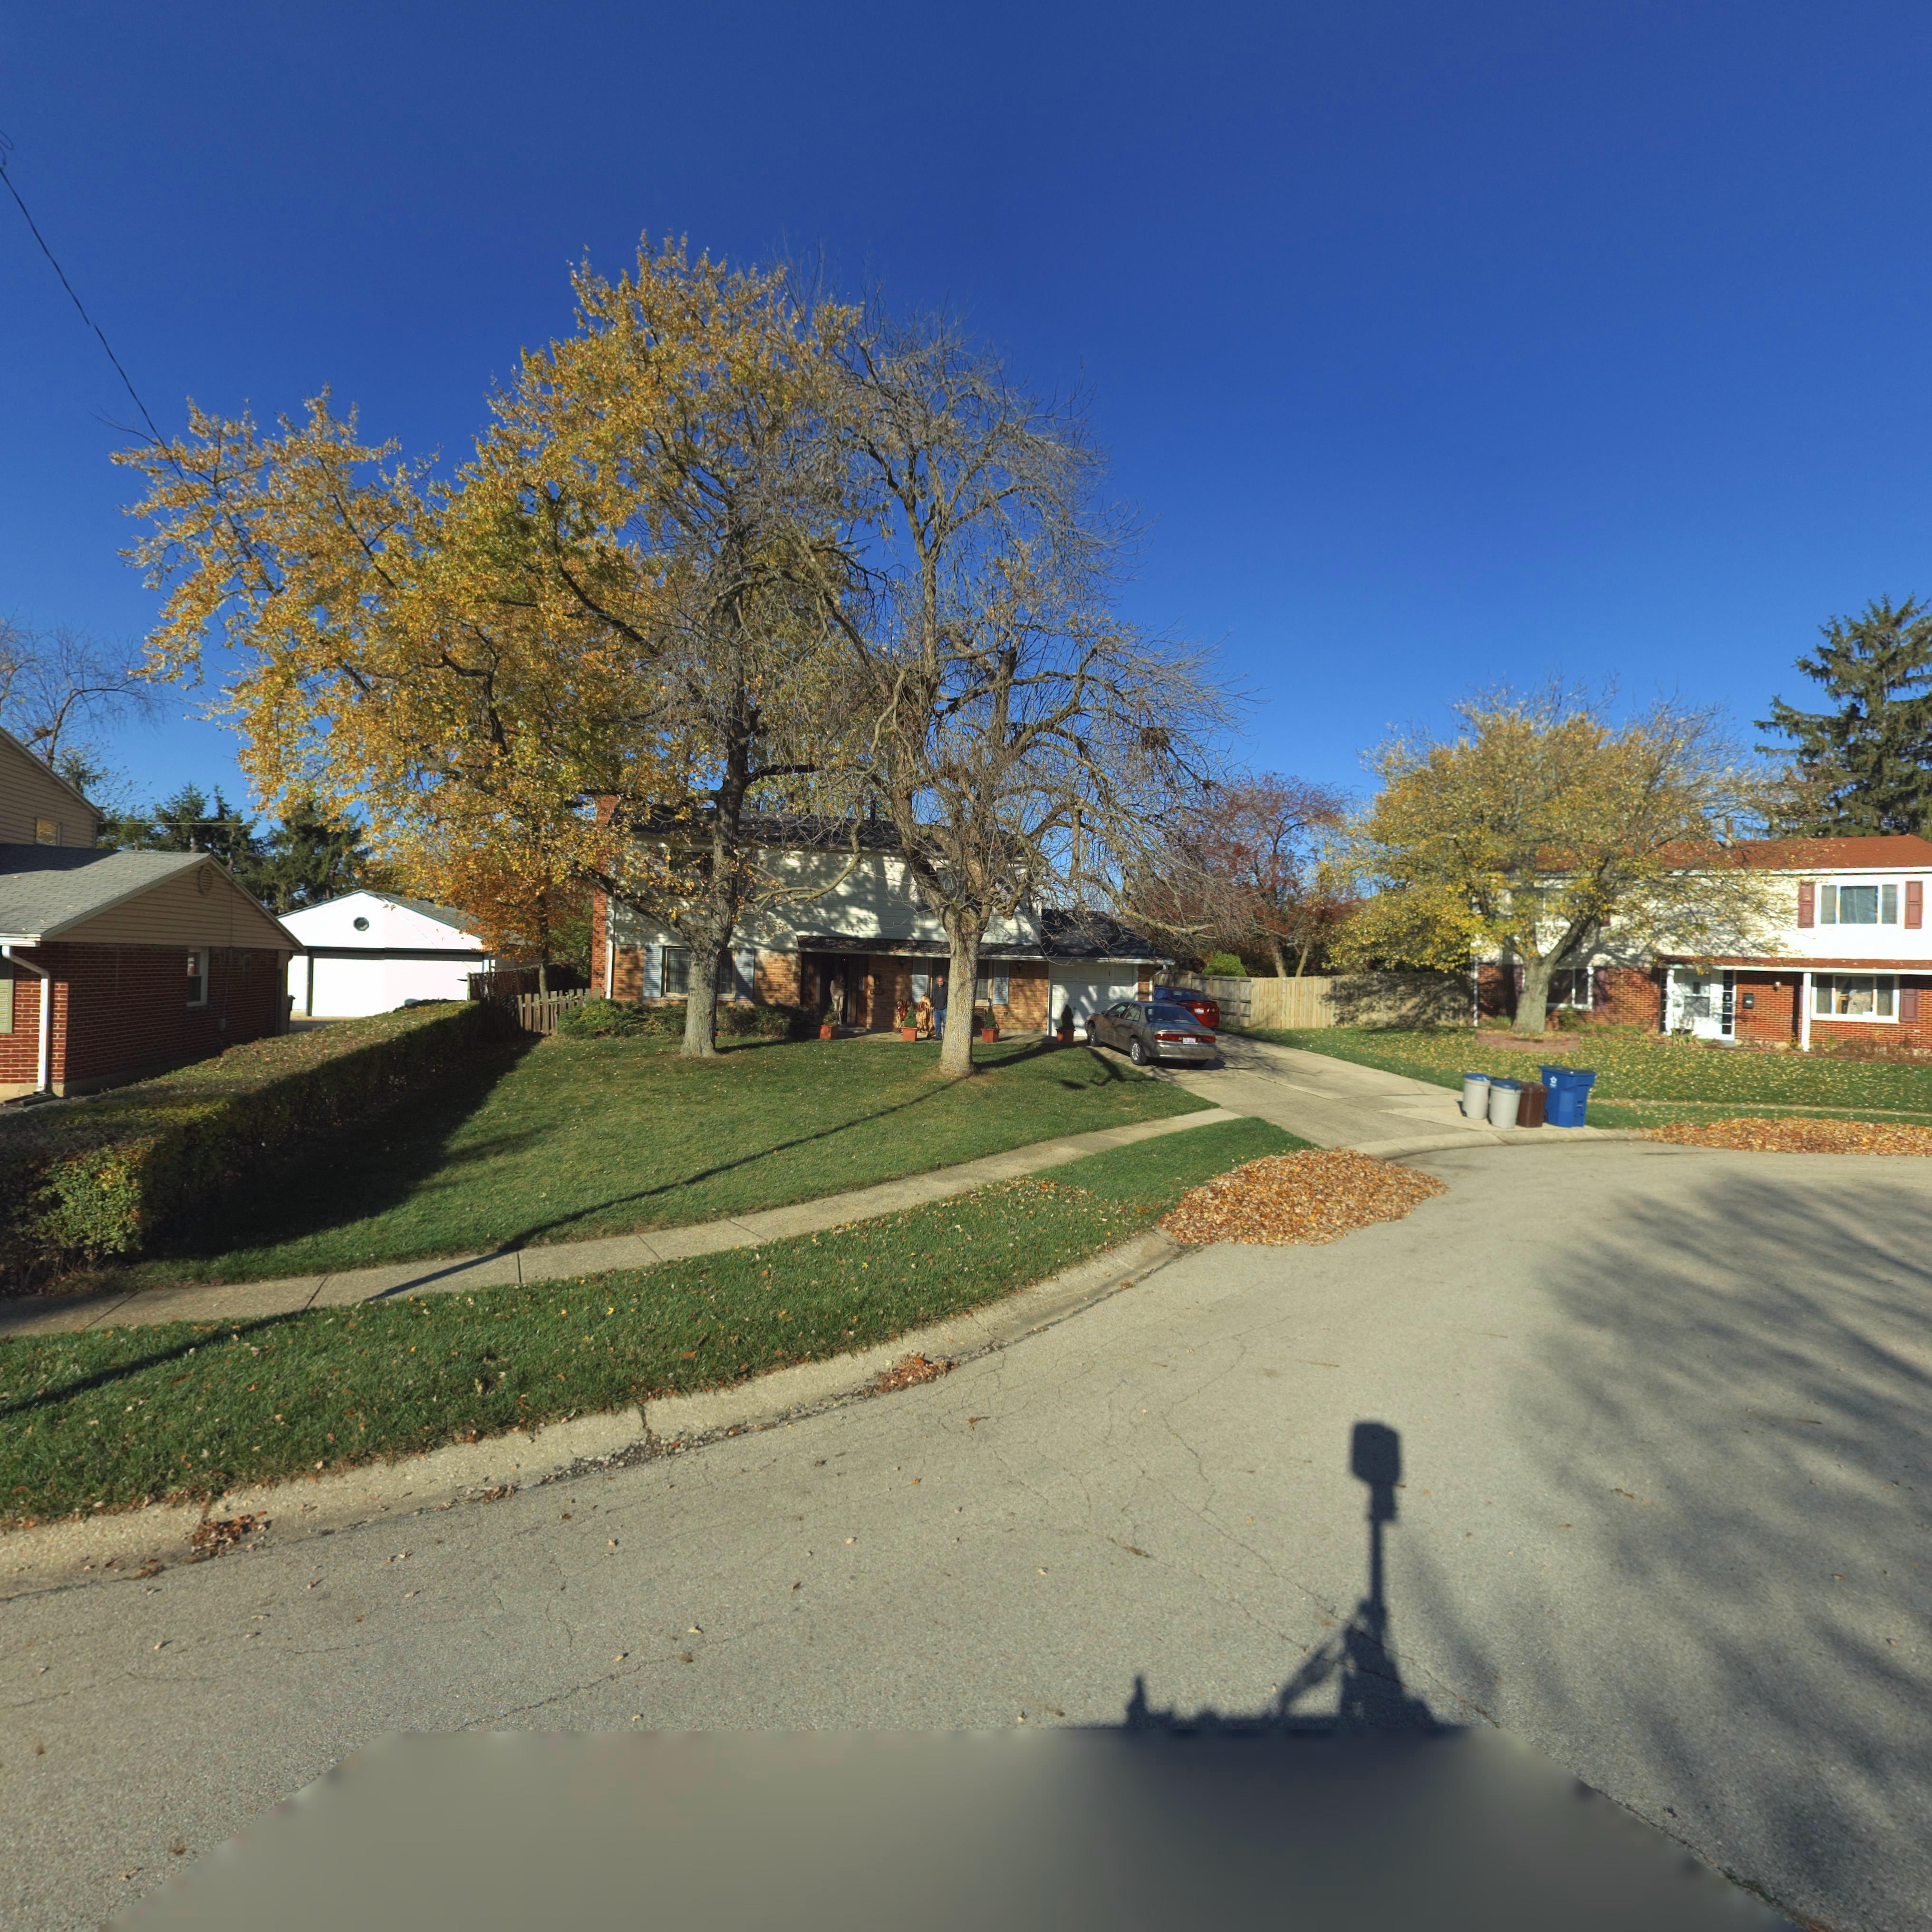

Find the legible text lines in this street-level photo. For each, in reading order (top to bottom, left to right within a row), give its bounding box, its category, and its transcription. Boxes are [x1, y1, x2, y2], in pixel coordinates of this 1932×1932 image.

[869, 989, 883, 995] StreetNumber: **06